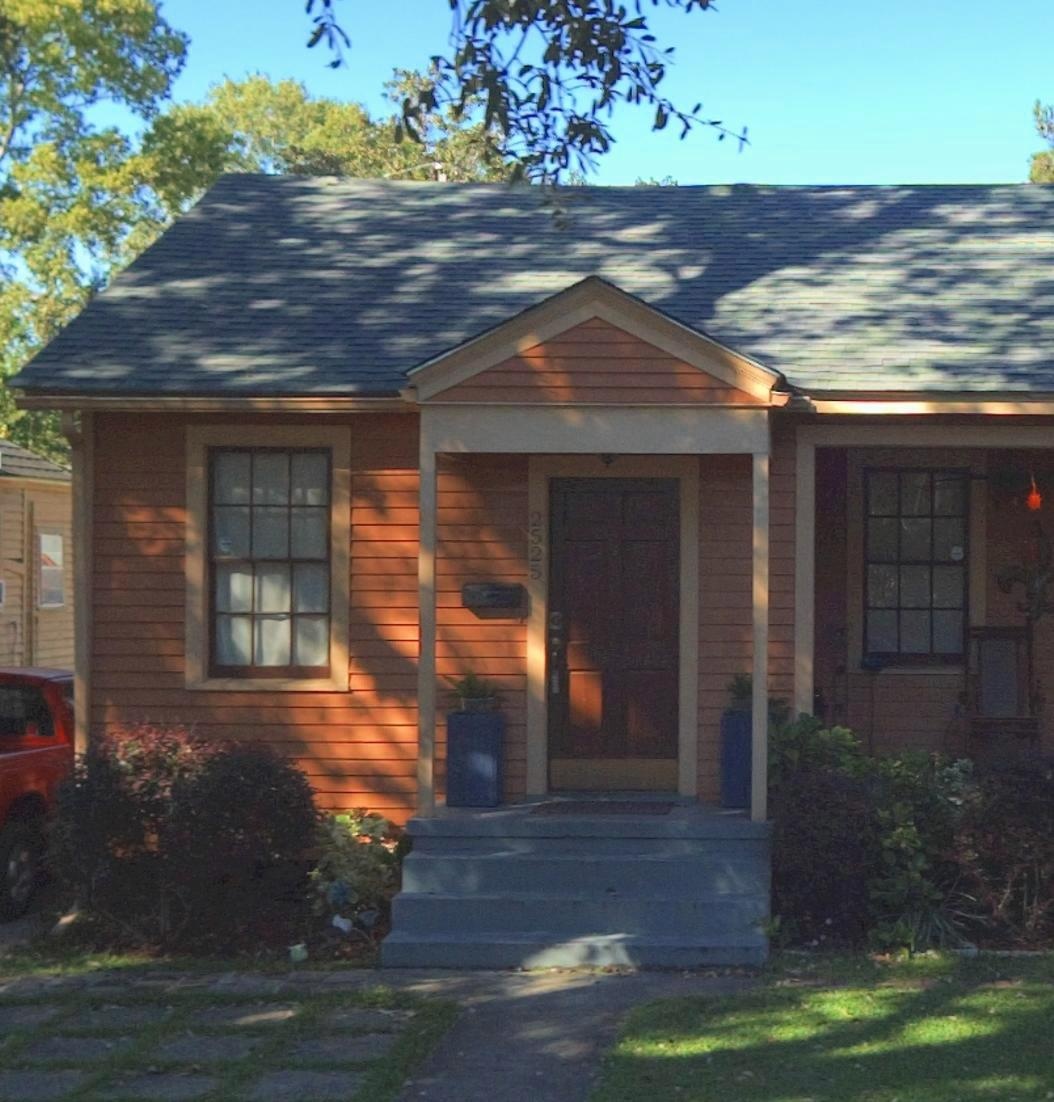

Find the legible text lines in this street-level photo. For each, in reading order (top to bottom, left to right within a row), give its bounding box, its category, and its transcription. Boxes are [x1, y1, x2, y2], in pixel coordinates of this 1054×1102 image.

[527, 509, 545, 583] StreetNumber: 2525